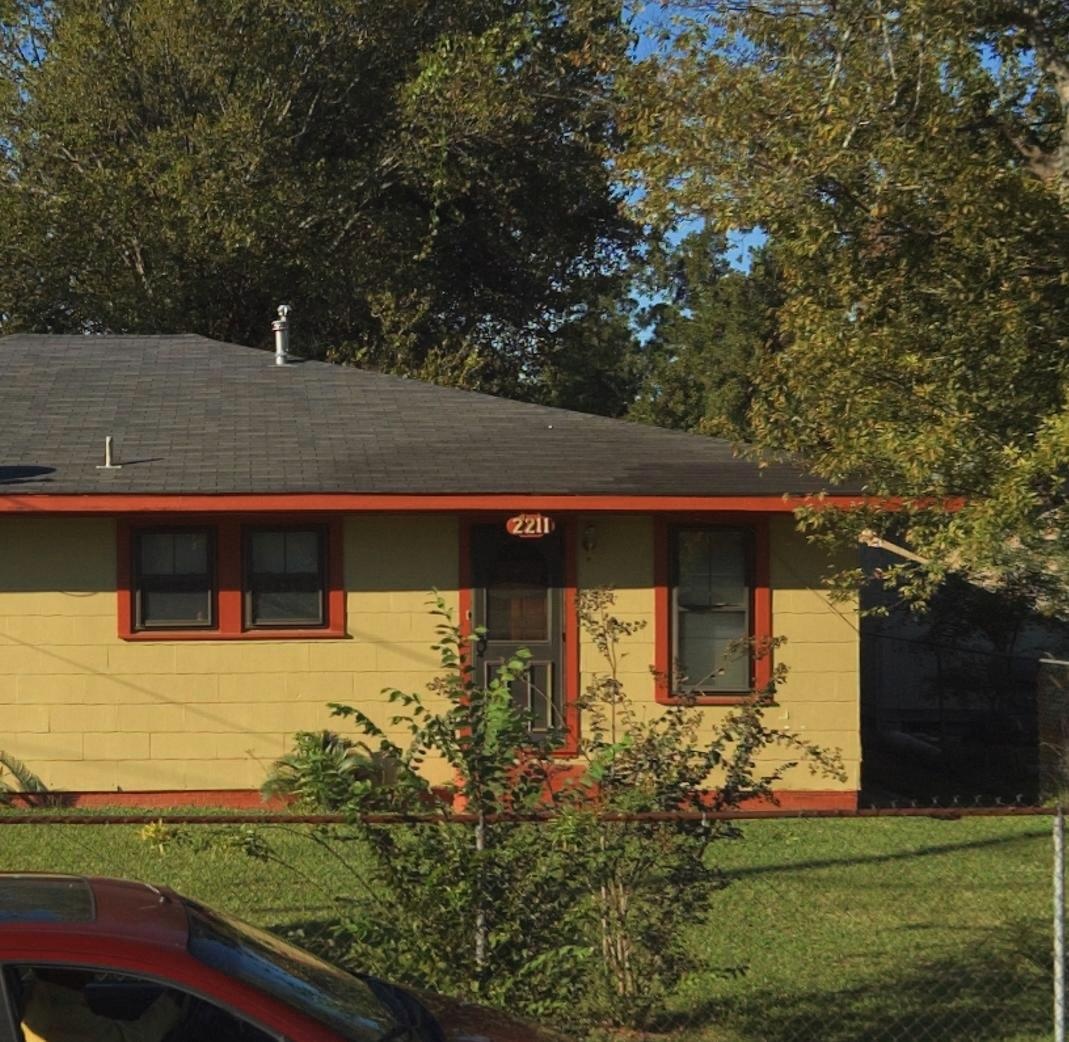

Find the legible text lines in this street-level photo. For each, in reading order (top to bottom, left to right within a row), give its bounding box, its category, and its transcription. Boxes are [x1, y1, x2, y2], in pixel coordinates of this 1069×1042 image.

[511, 517, 550, 535] StreetNumber: 2211